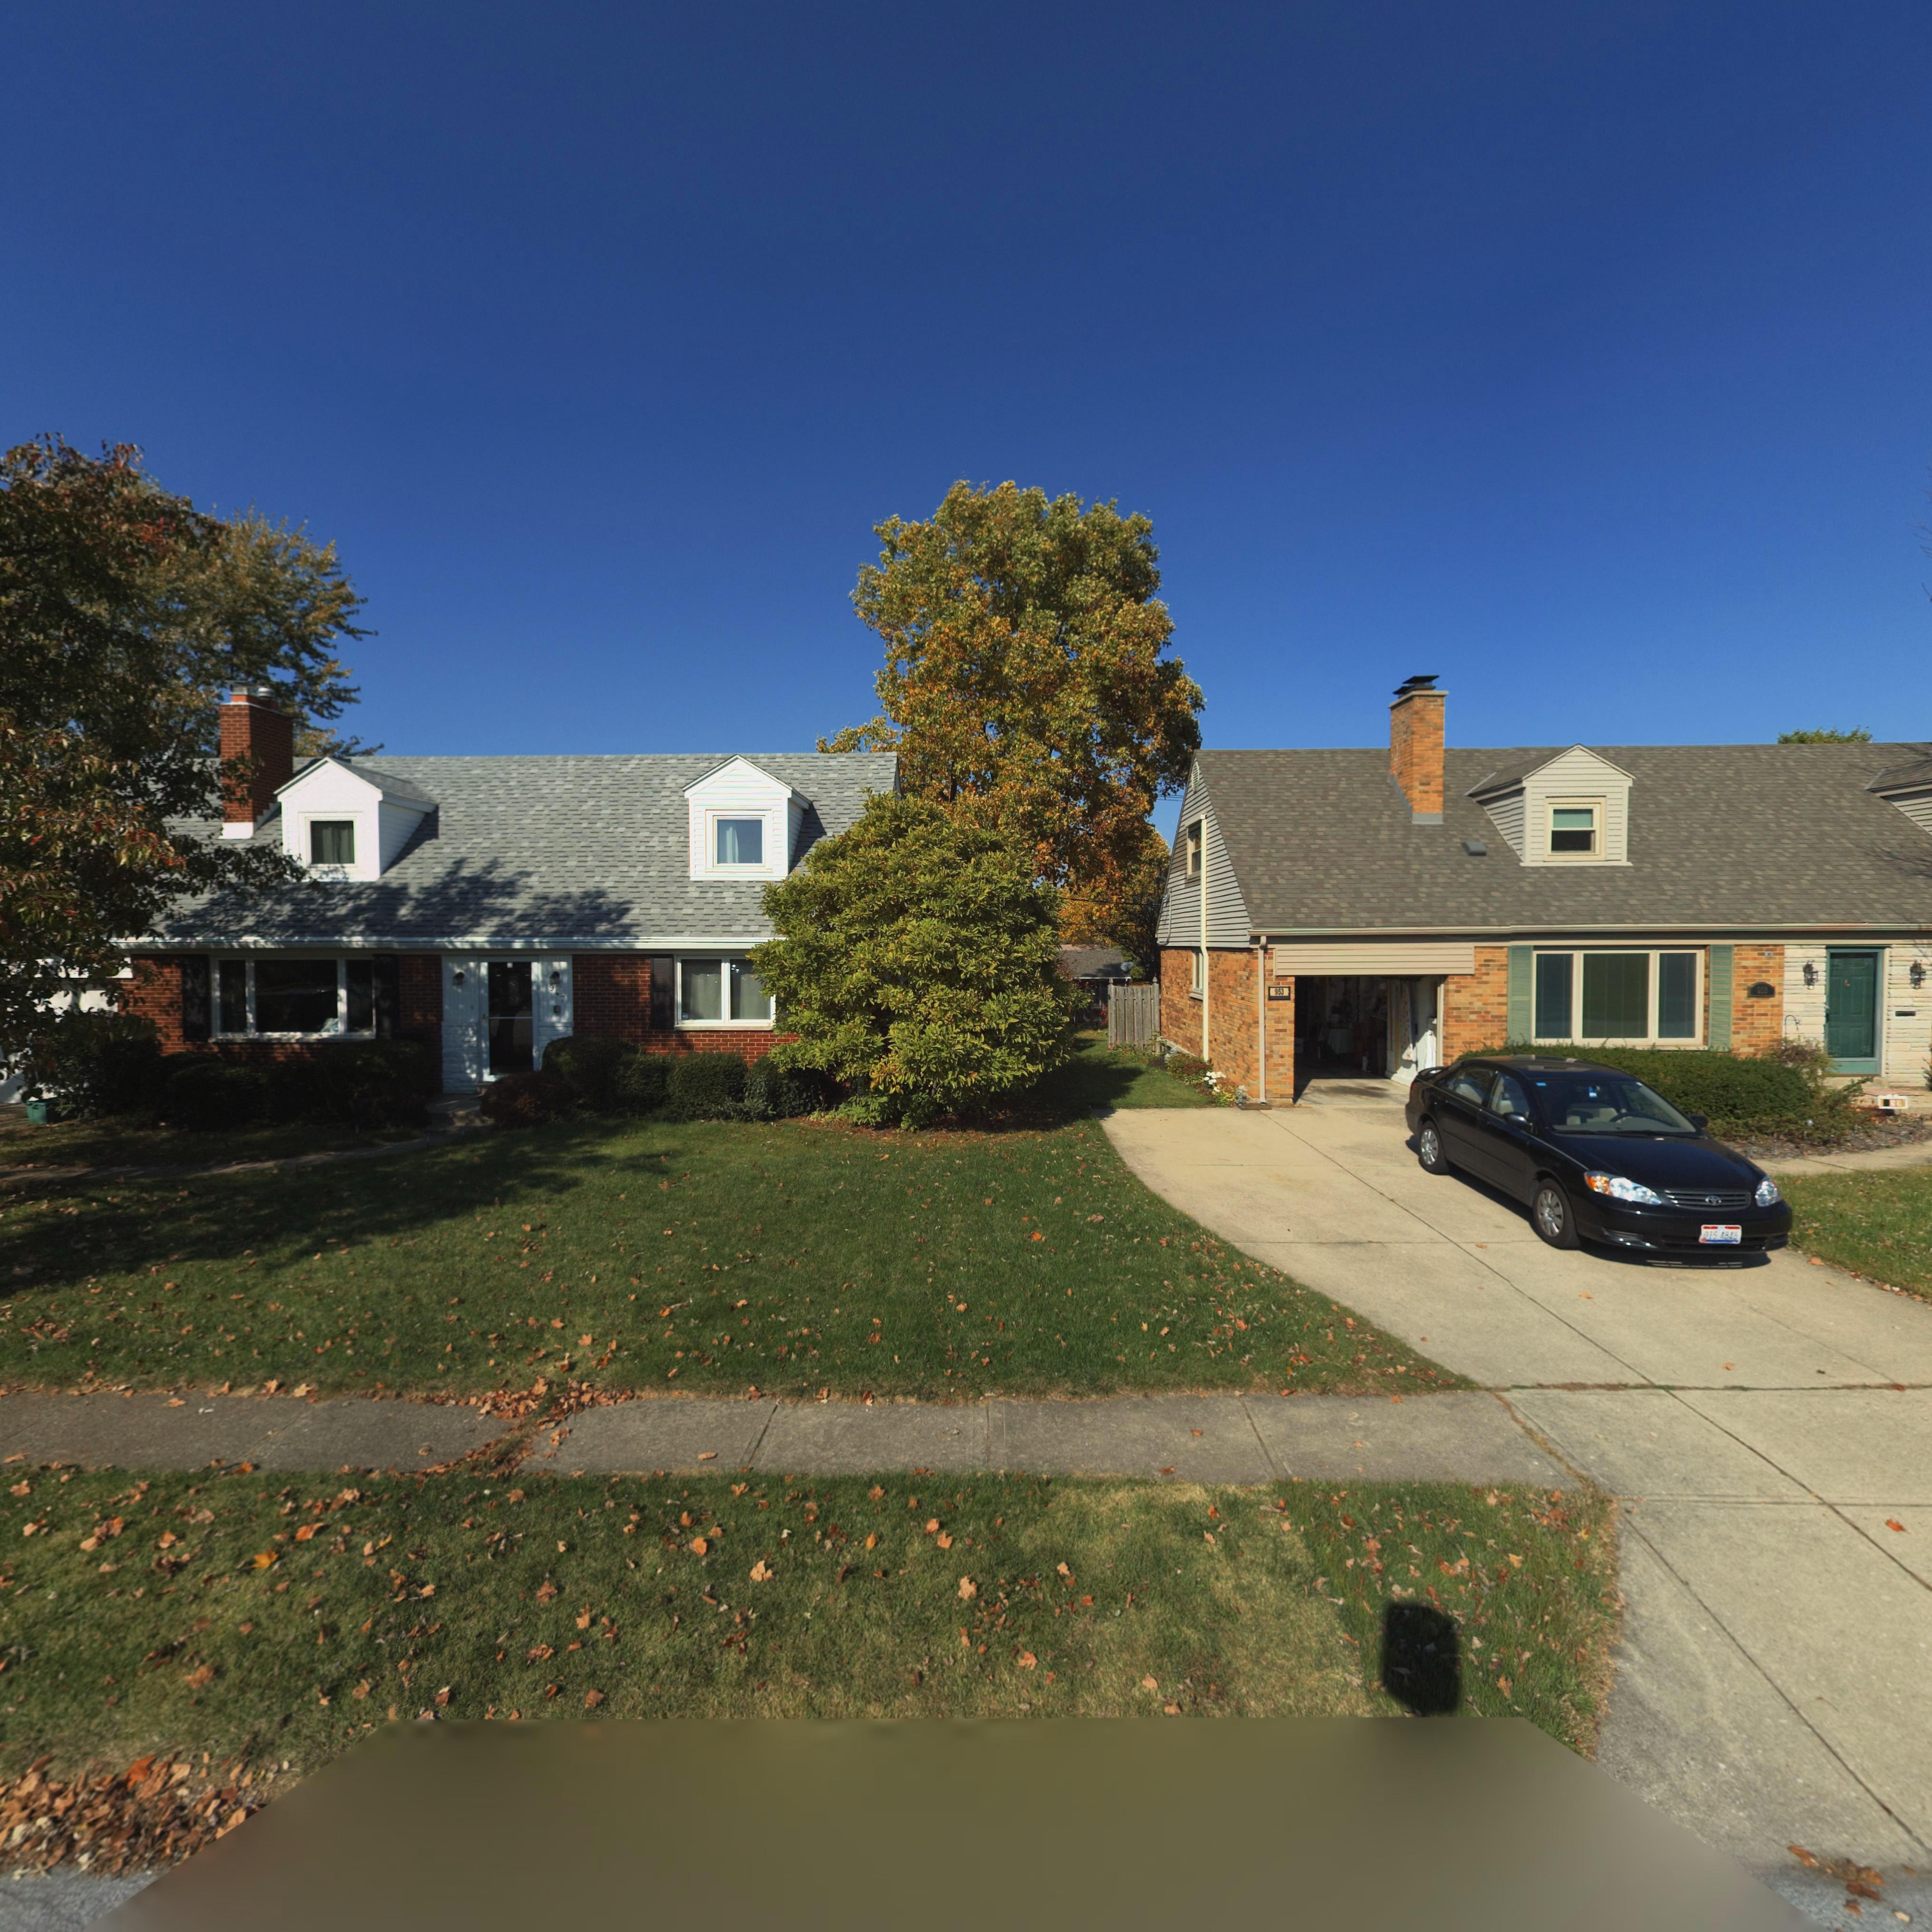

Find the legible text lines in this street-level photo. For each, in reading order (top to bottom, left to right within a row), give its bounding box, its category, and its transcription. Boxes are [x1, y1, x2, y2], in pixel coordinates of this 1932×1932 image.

[549, 985, 566, 1004] StreetNumber: 947
[1274, 988, 1285, 995] StreetNumber: 953
[1757, 986, 1768, 994] StreetNumber: *5*
[1883, 1099, 1902, 1107] StreetNumber: **3
[1703, 1230, 1739, 1240] None: DIS*4848